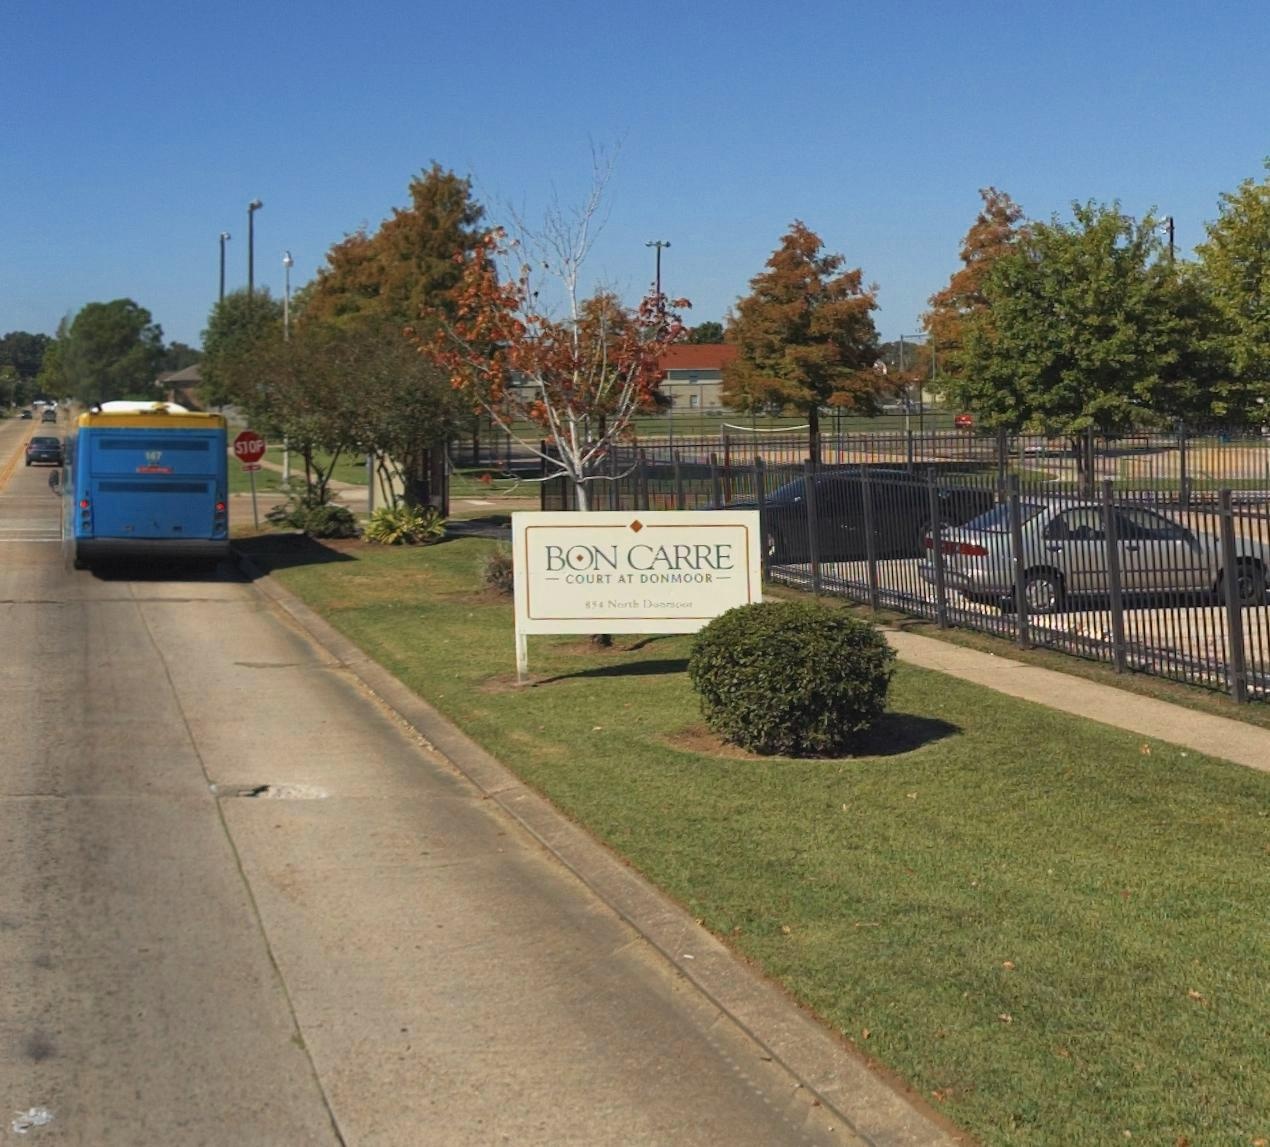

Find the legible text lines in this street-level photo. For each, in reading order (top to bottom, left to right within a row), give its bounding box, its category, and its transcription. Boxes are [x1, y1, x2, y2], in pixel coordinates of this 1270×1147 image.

[143, 448, 166, 462] None: 147
[234, 437, 266, 456] None: STOP
[542, 541, 736, 574] BusinessName: BON CARRE
[562, 570, 716, 587] None: COURT AT DONMOOR
[582, 596, 606, 612] StreetNumber: 85*
[605, 596, 695, 612] StreetName: North Do*****